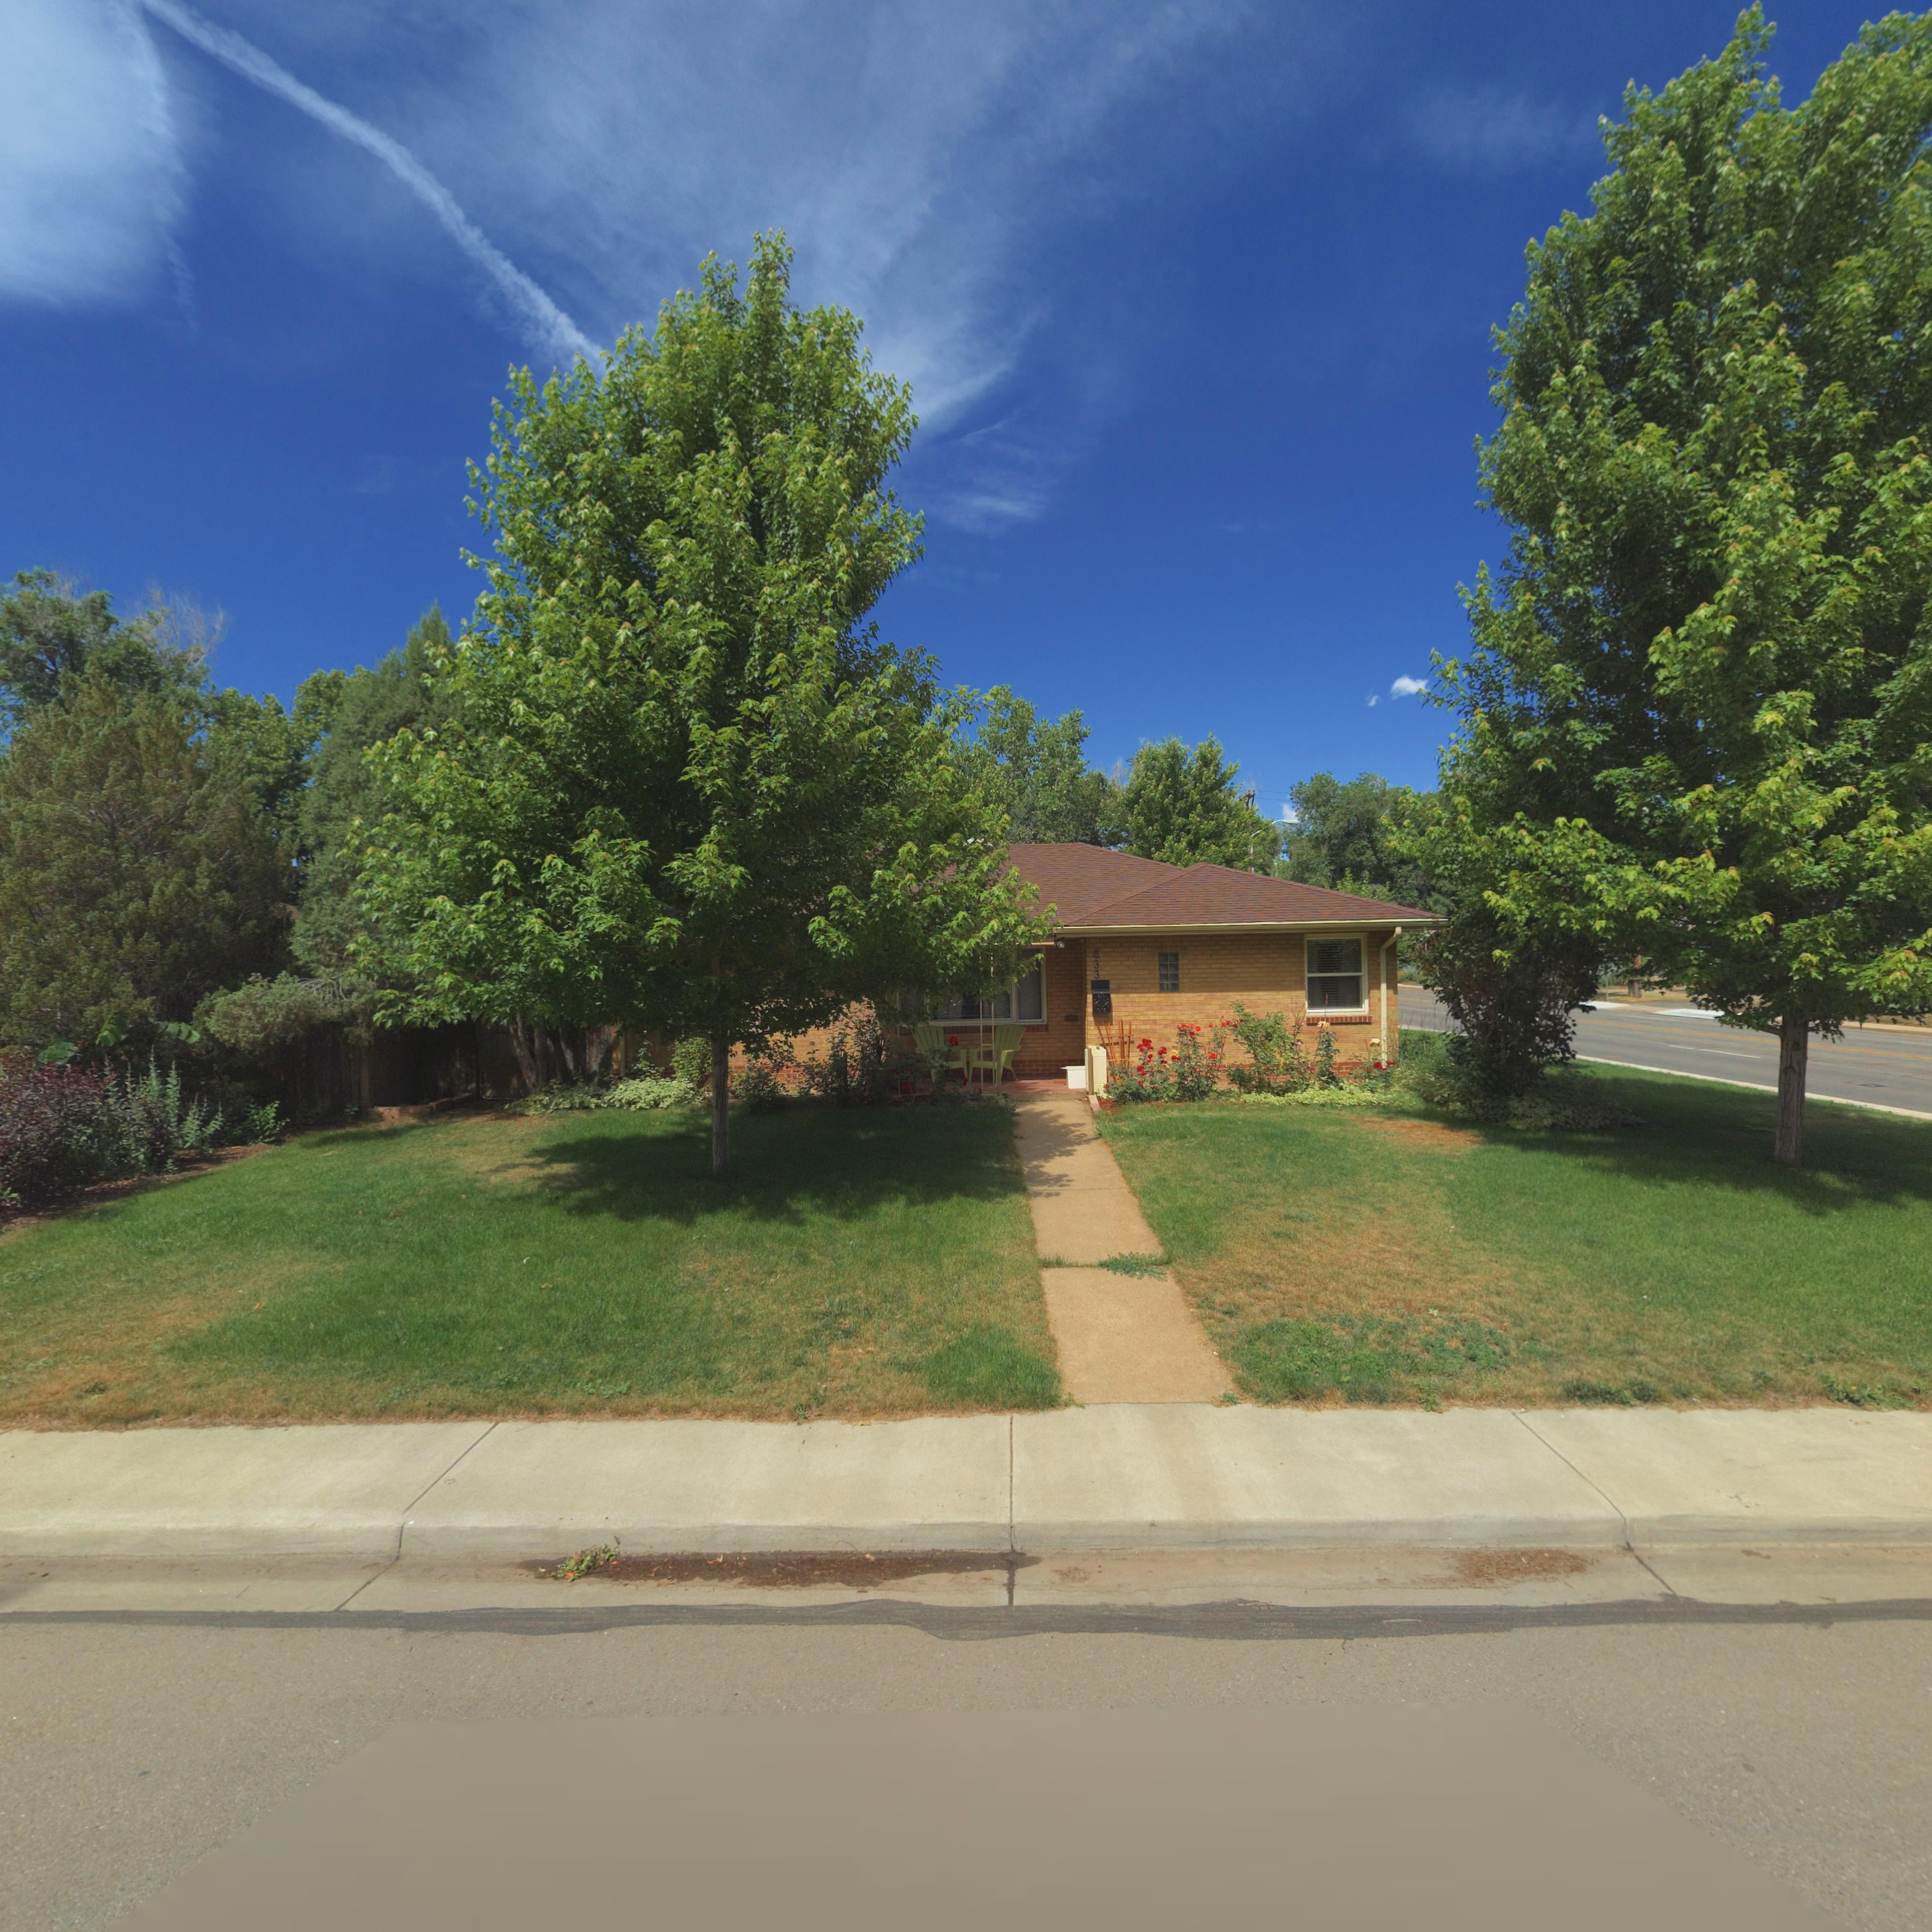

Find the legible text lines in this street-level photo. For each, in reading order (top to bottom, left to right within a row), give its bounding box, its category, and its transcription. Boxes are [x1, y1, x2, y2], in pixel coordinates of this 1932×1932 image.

[1093, 948, 1099, 980] StreetNumber: 833